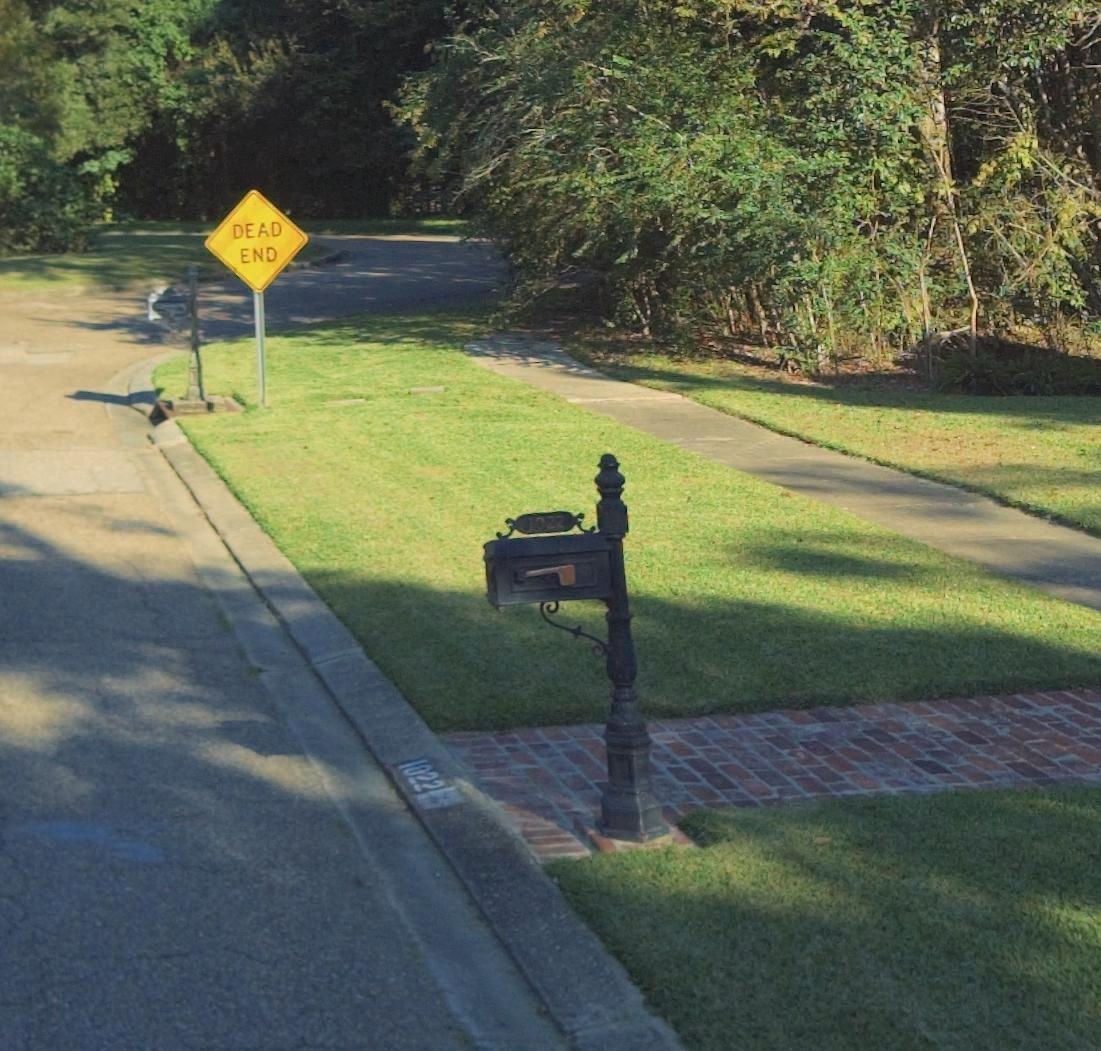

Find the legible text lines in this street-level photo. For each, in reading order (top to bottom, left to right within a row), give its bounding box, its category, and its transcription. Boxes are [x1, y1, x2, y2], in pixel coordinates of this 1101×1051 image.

[230, 218, 286, 243] None: DEAD
[238, 244, 280, 266] None: END
[526, 513, 566, 535] StreetNumber: 1022
[395, 755, 449, 796] StreetNumber: 1022